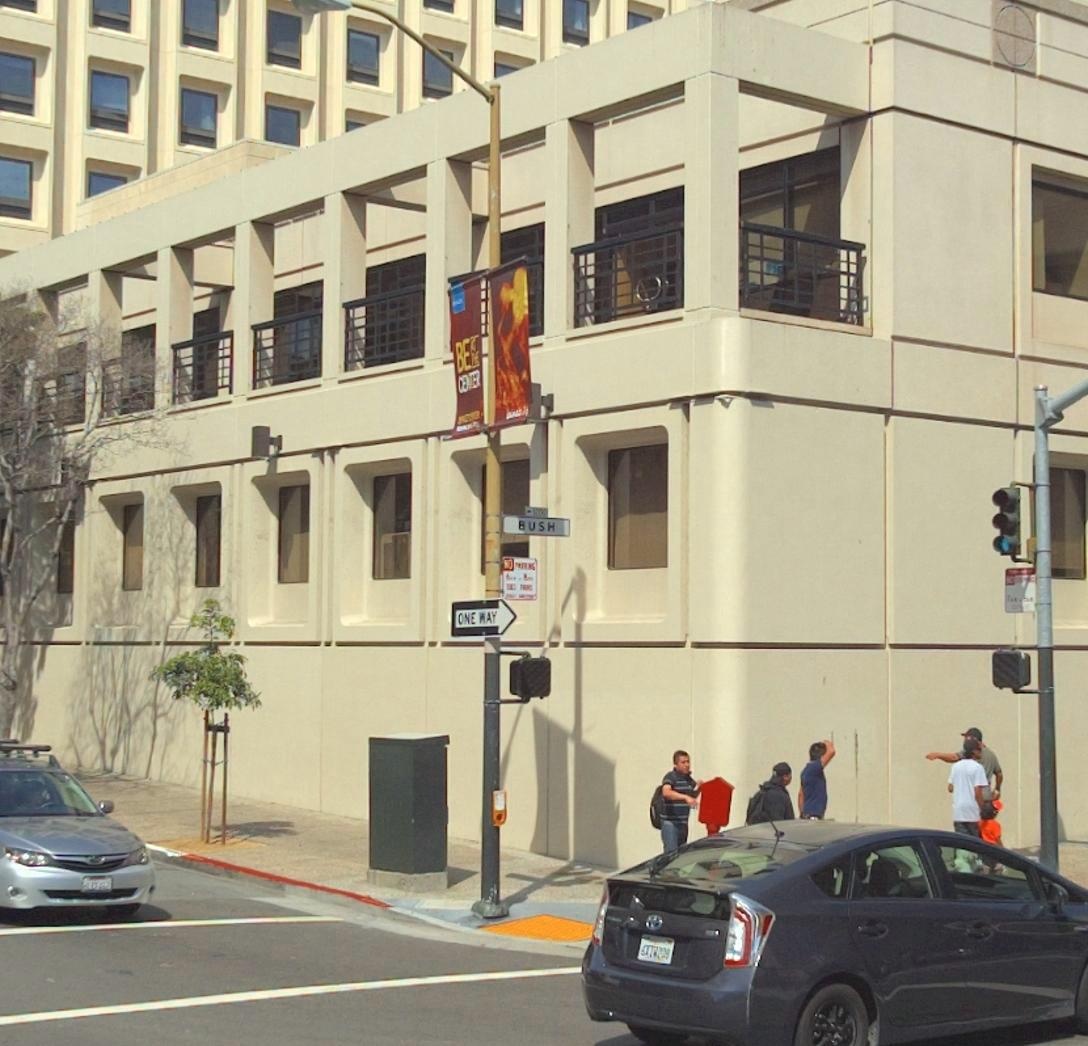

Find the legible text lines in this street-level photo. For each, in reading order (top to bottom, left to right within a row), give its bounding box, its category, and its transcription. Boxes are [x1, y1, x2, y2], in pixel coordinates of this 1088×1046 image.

[452, 332, 476, 377] None: BE
[516, 518, 558, 534] StreetName: BUSH
[456, 607, 500, 628] None: ONE WAY
[637, 942, 654, 960] None: 6T